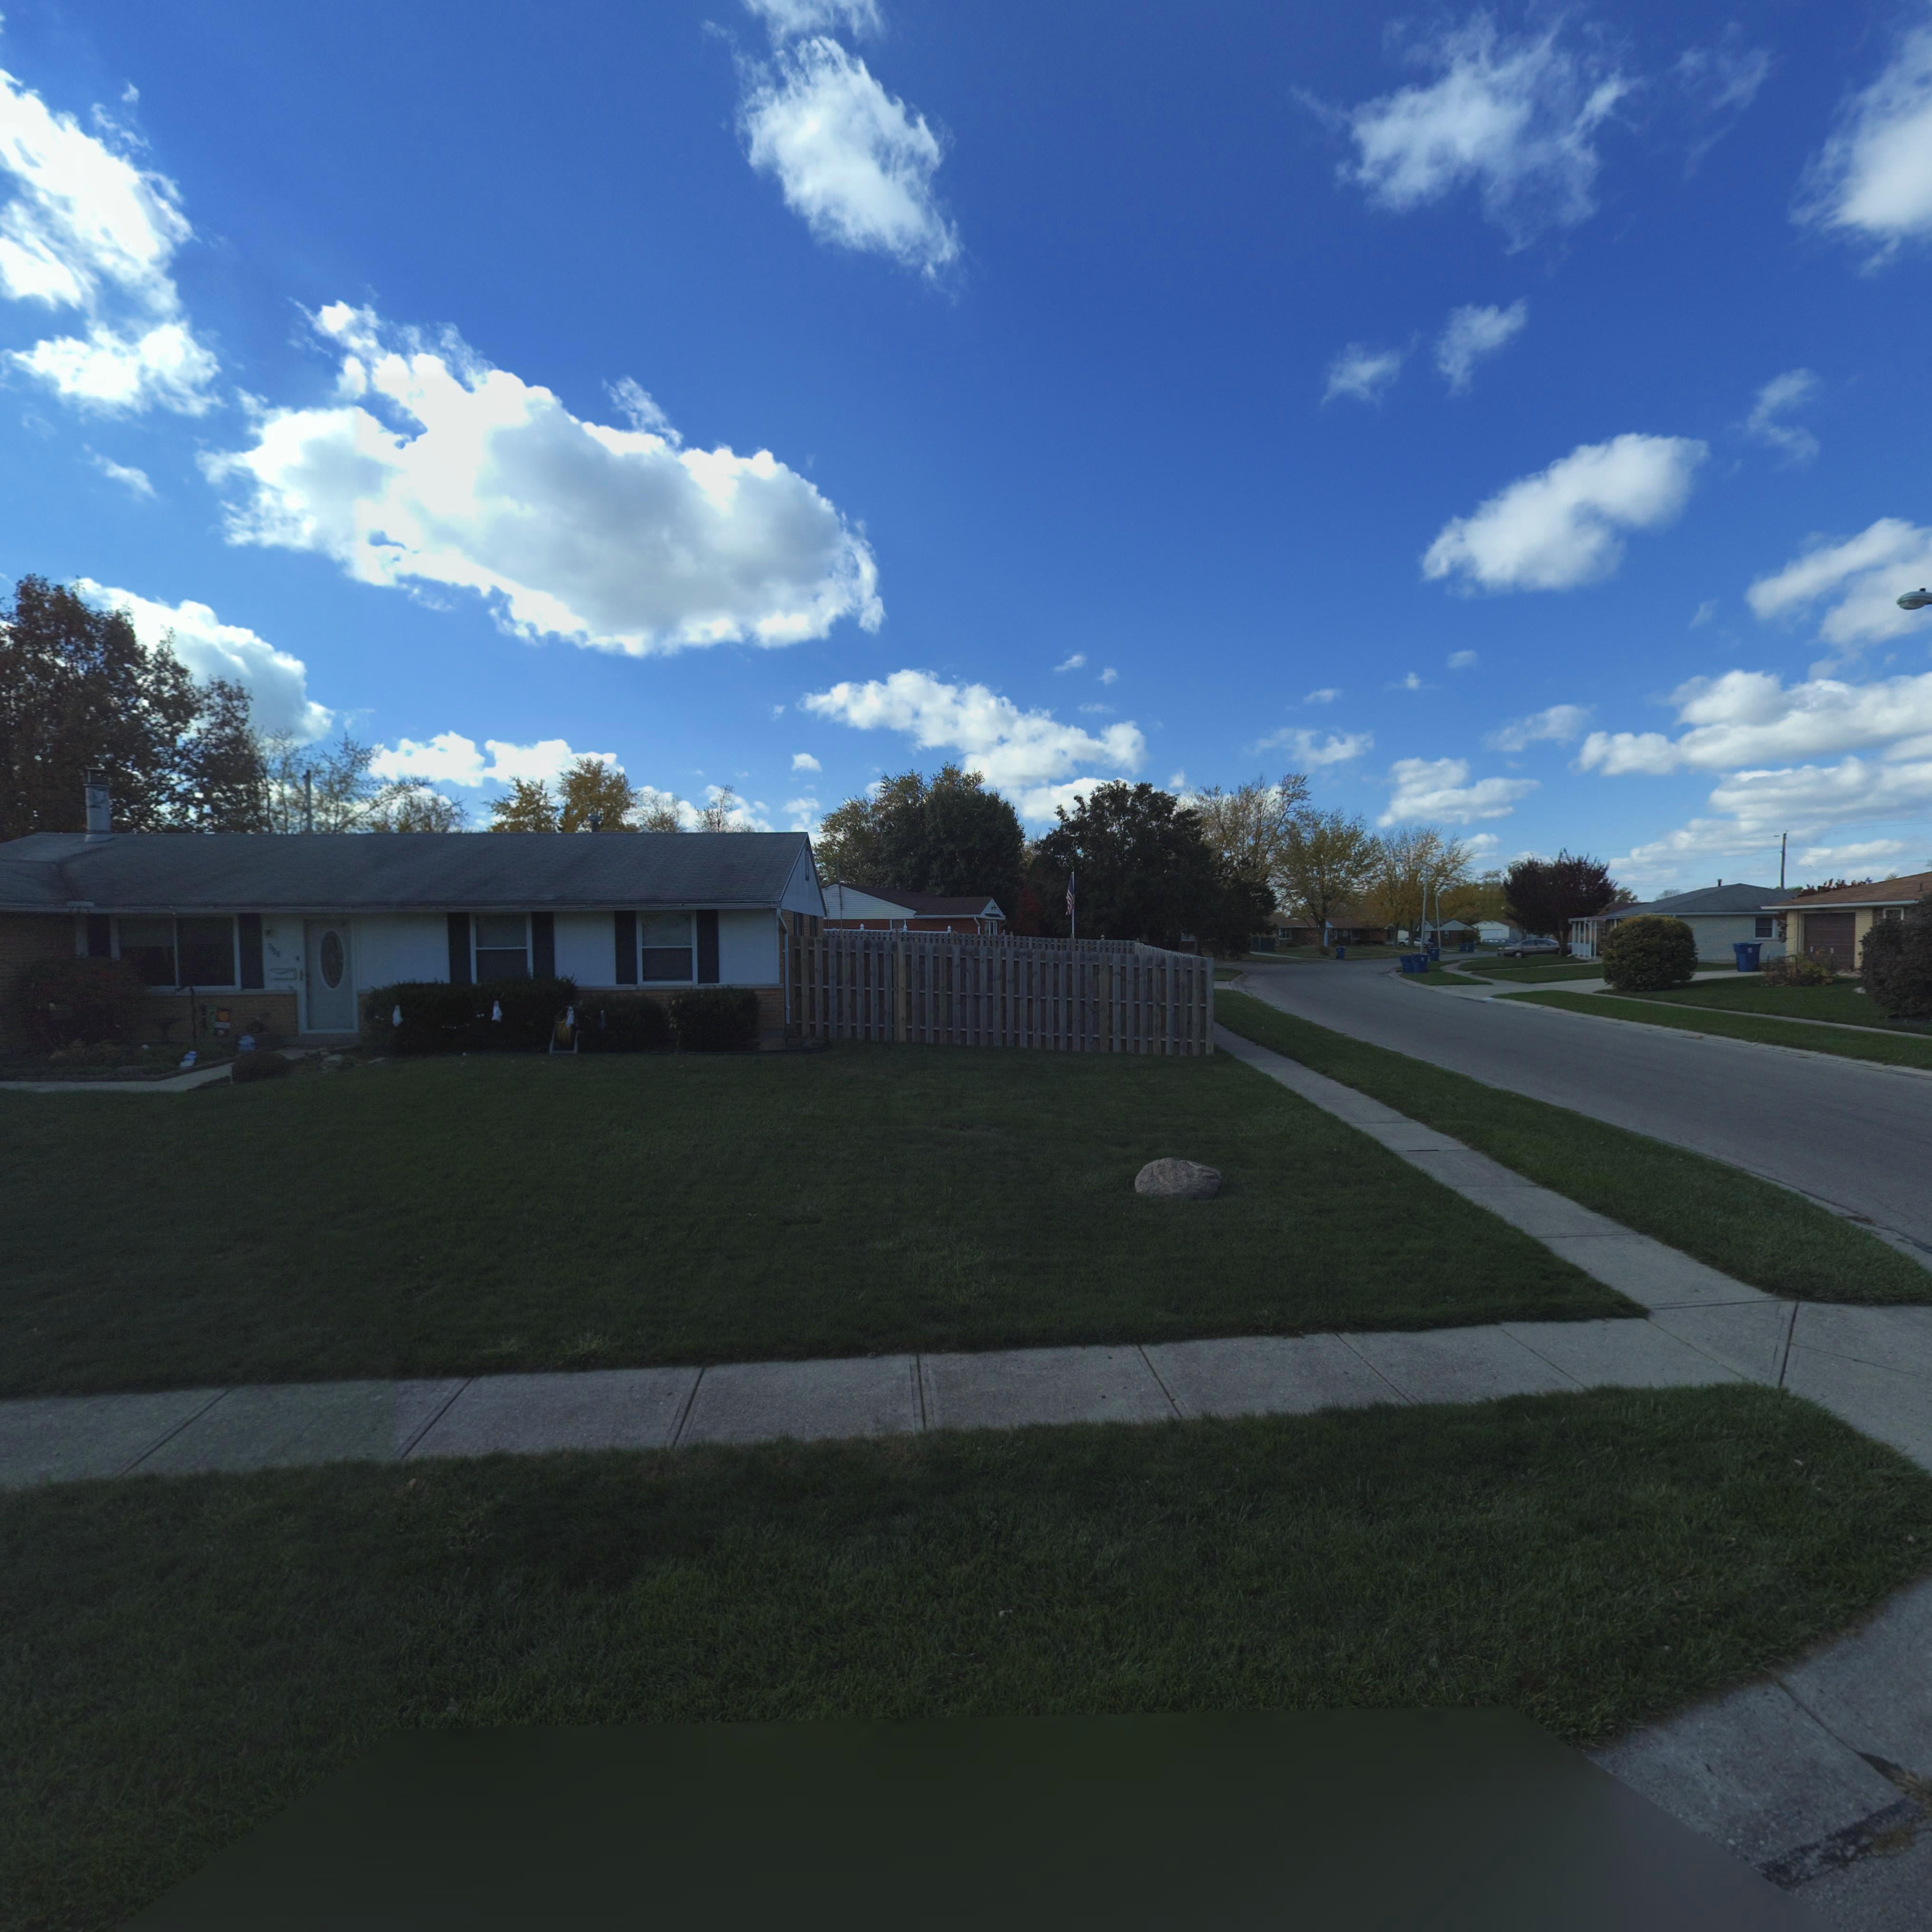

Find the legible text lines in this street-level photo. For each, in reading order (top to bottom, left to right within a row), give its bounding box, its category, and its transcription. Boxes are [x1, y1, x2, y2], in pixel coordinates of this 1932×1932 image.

[265, 942, 281, 958] StreetNumber: 7***